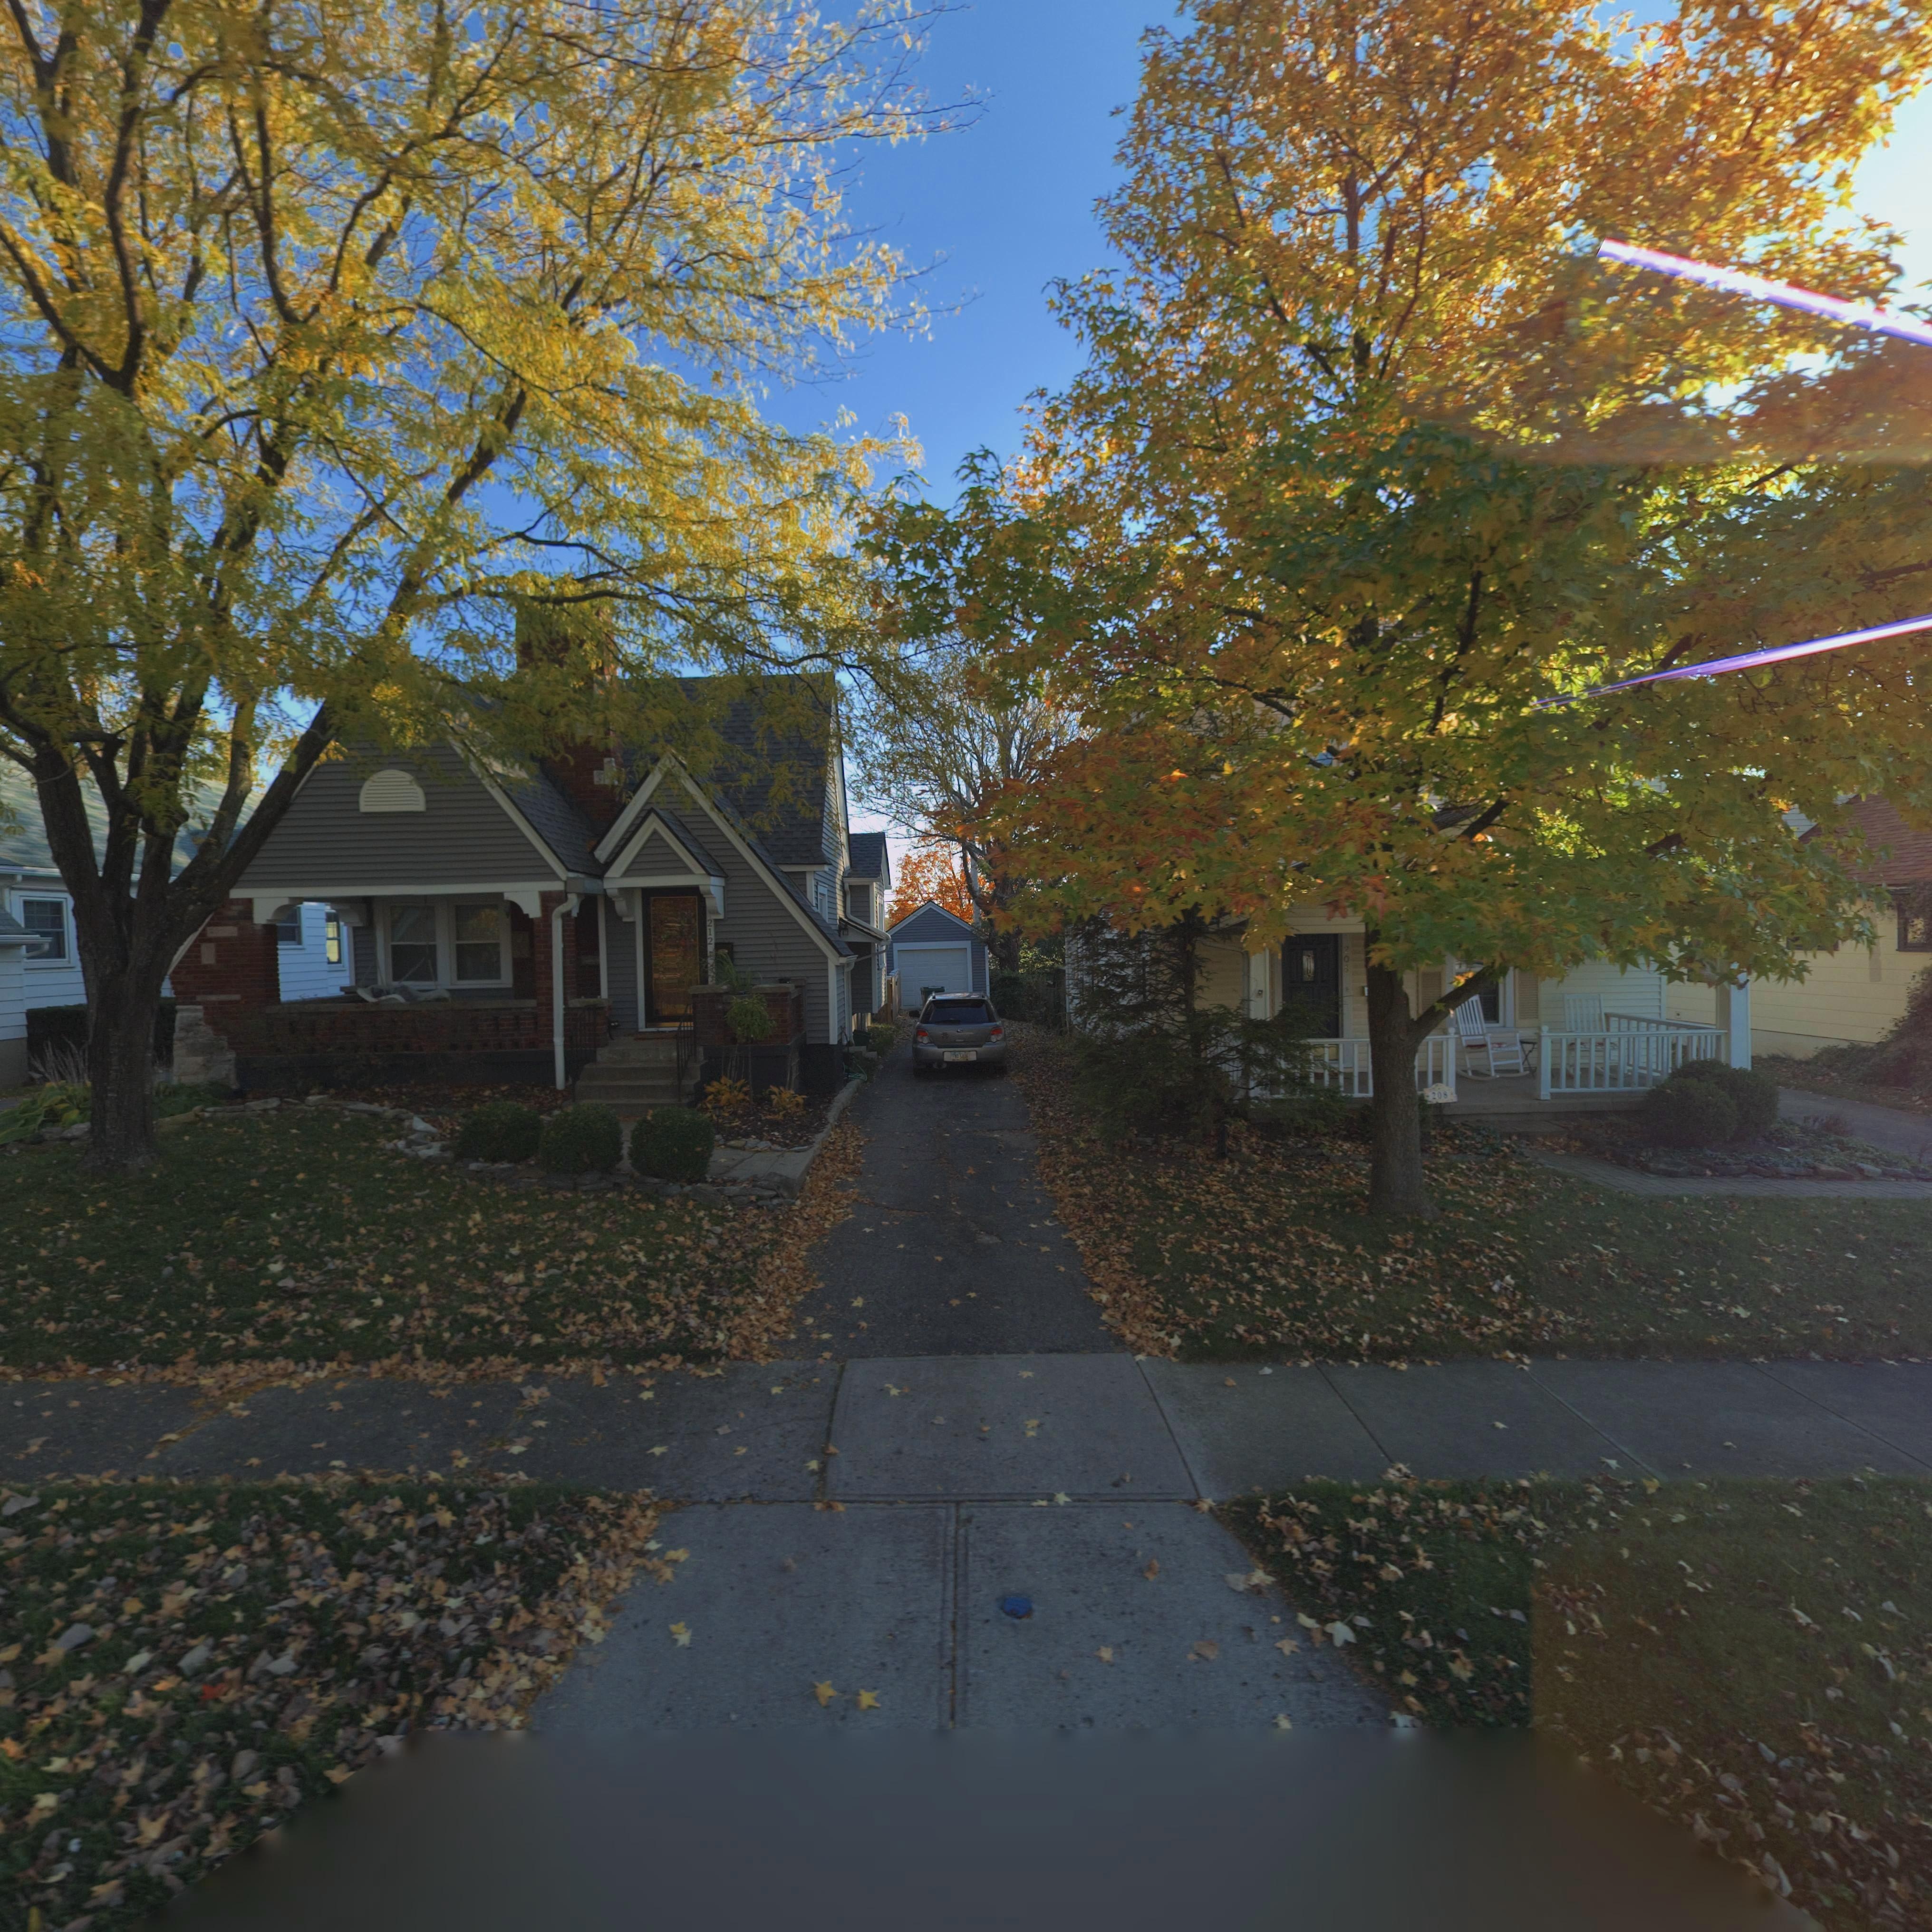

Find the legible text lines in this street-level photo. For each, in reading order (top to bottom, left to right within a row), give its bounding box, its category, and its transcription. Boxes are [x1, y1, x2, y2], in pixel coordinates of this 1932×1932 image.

[706, 918, 714, 945] StreetNumber: 212
[1343, 945, 1351, 973] StreetNumber: 208
[1431, 1091, 1448, 1100] StreetNumber: 208